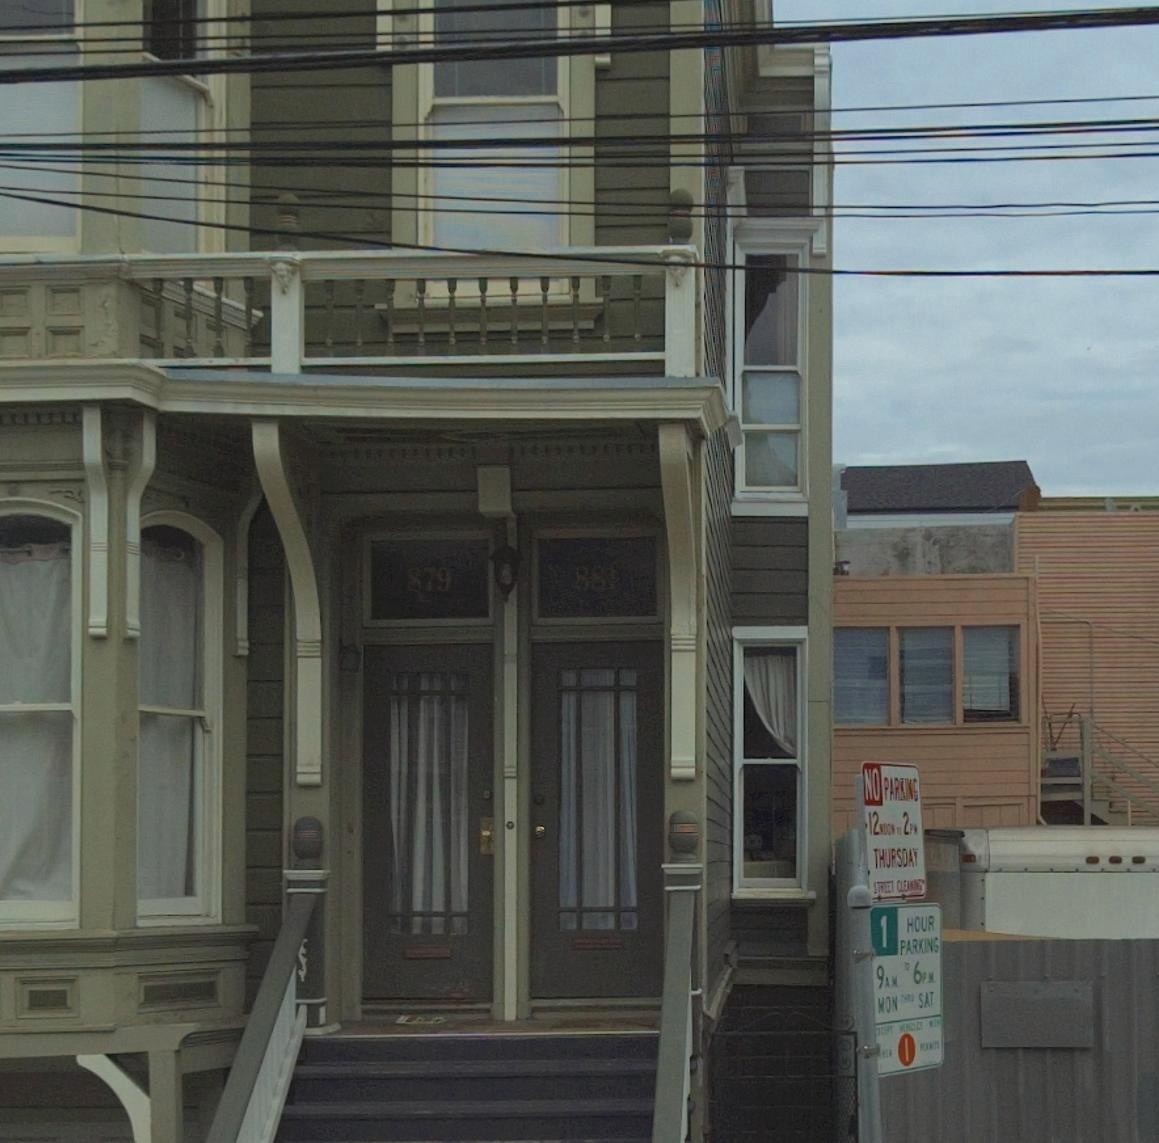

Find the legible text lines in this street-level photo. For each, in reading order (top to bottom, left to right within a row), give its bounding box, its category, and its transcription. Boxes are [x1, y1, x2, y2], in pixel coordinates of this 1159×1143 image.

[406, 566, 453, 593] StreetNumber: 879
[573, 564, 619, 593] StreetNumber: 881
[863, 767, 920, 803] None: NO PARKING
[867, 810, 881, 837] None: 12
[899, 811, 911, 838] None: 2
[871, 846, 920, 870] None: THURSDAY
[871, 878, 924, 896] None: STREET CLEANING
[879, 914, 888, 948] None: 1
[904, 914, 935, 936] None: HOUR
[899, 937, 940, 957] None: PARKING
[876, 964, 885, 990] None: 9
[911, 960, 923, 986] None: 6
[876, 995, 899, 1015] None: MON
[917, 990, 936, 1011] None: SAT
[903, 1036, 910, 1062] None: I